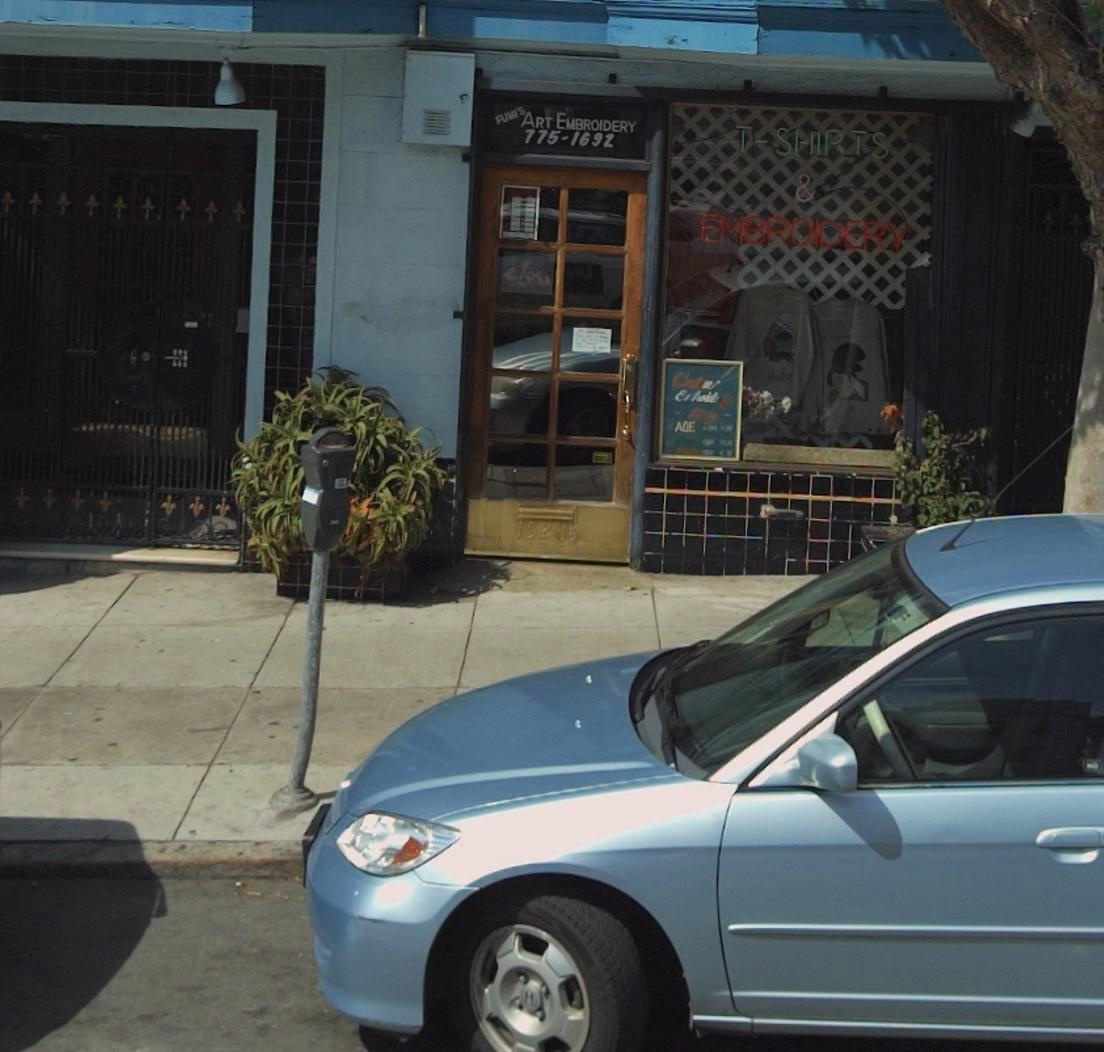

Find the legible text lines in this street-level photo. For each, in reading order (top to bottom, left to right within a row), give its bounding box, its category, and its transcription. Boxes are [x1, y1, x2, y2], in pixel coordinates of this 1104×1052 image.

[492, 104, 528, 127] BusinessName: FUMY'S
[518, 110, 639, 134] BusinessName: ART EMBROIDERY
[524, 128, 616, 149] None: 775-1692
[733, 124, 889, 161] None: T-SHIRTS
[698, 211, 916, 254] None: EMBROIDERY
[501, 260, 538, 289] None: CLo
[670, 372, 686, 389] None: C
[673, 420, 696, 434] None: A*E
[515, 518, 582, 542] StreetNumber: 15285